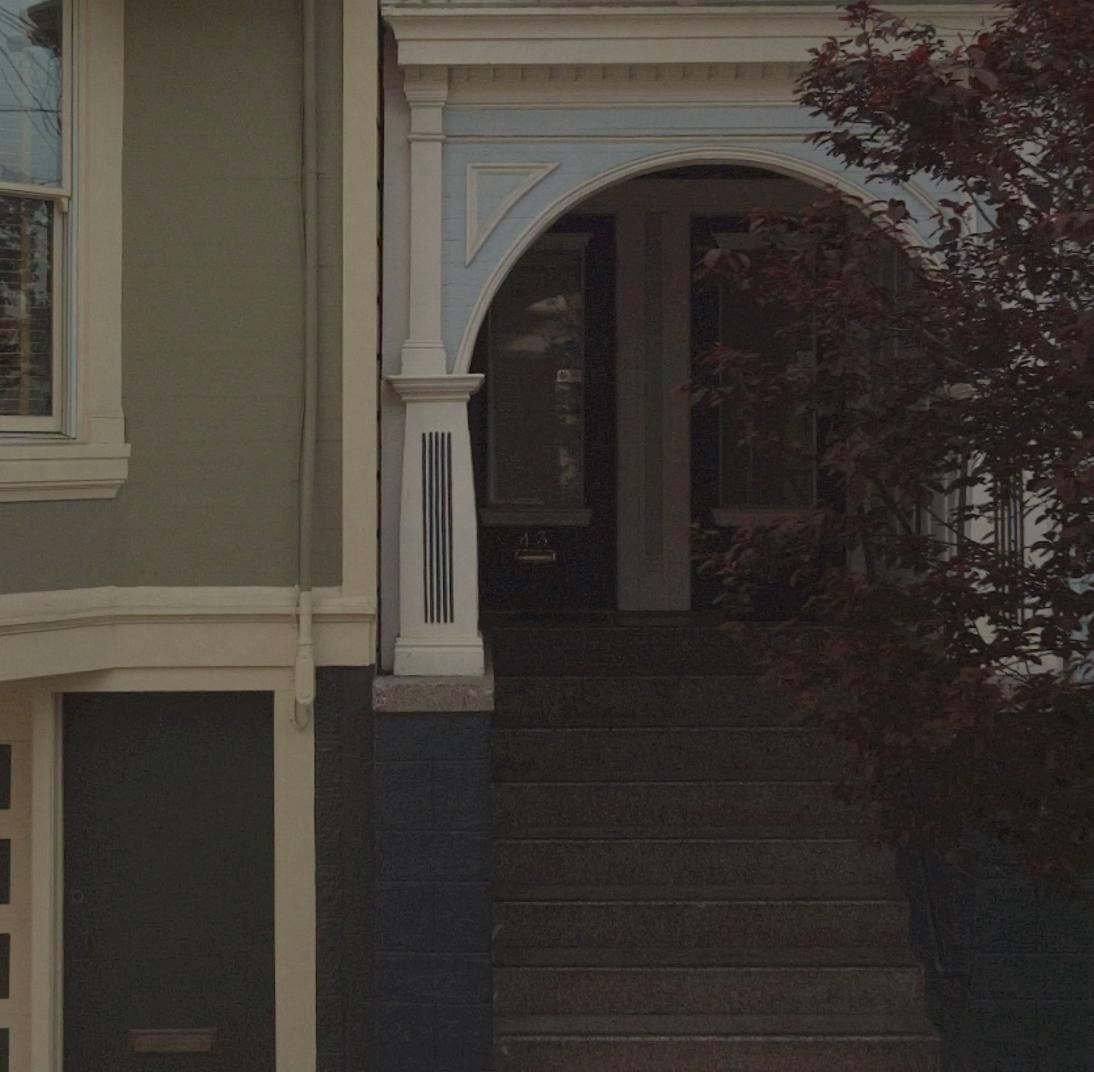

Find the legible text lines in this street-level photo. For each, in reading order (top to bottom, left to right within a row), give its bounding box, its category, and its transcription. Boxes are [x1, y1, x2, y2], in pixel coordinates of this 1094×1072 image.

[516, 529, 550, 549] StreetNumber: 43